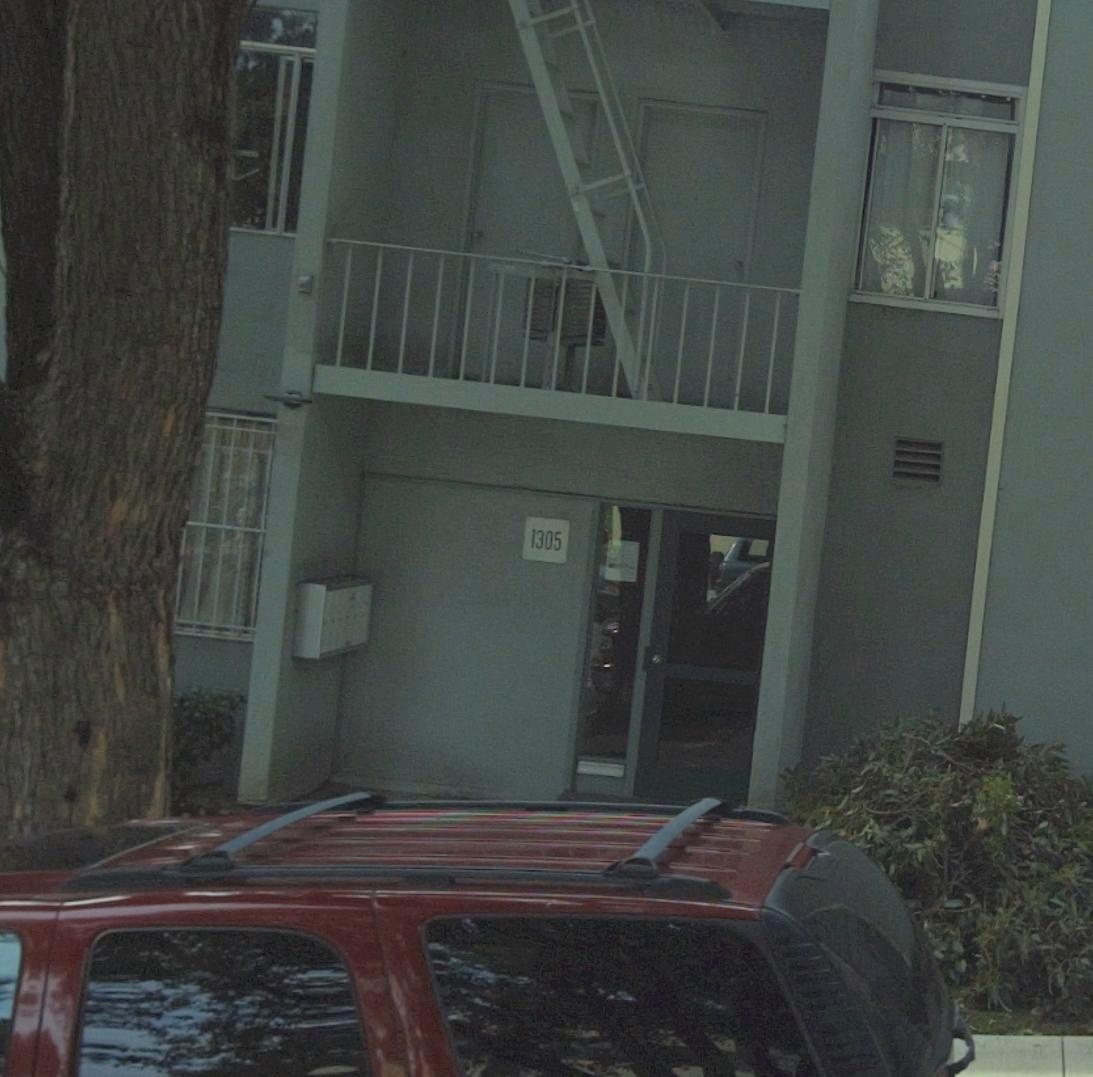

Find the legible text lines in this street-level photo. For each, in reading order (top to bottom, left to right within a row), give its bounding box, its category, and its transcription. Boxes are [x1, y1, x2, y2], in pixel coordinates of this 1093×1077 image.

[528, 525, 565, 554] StreetNumber: 1305